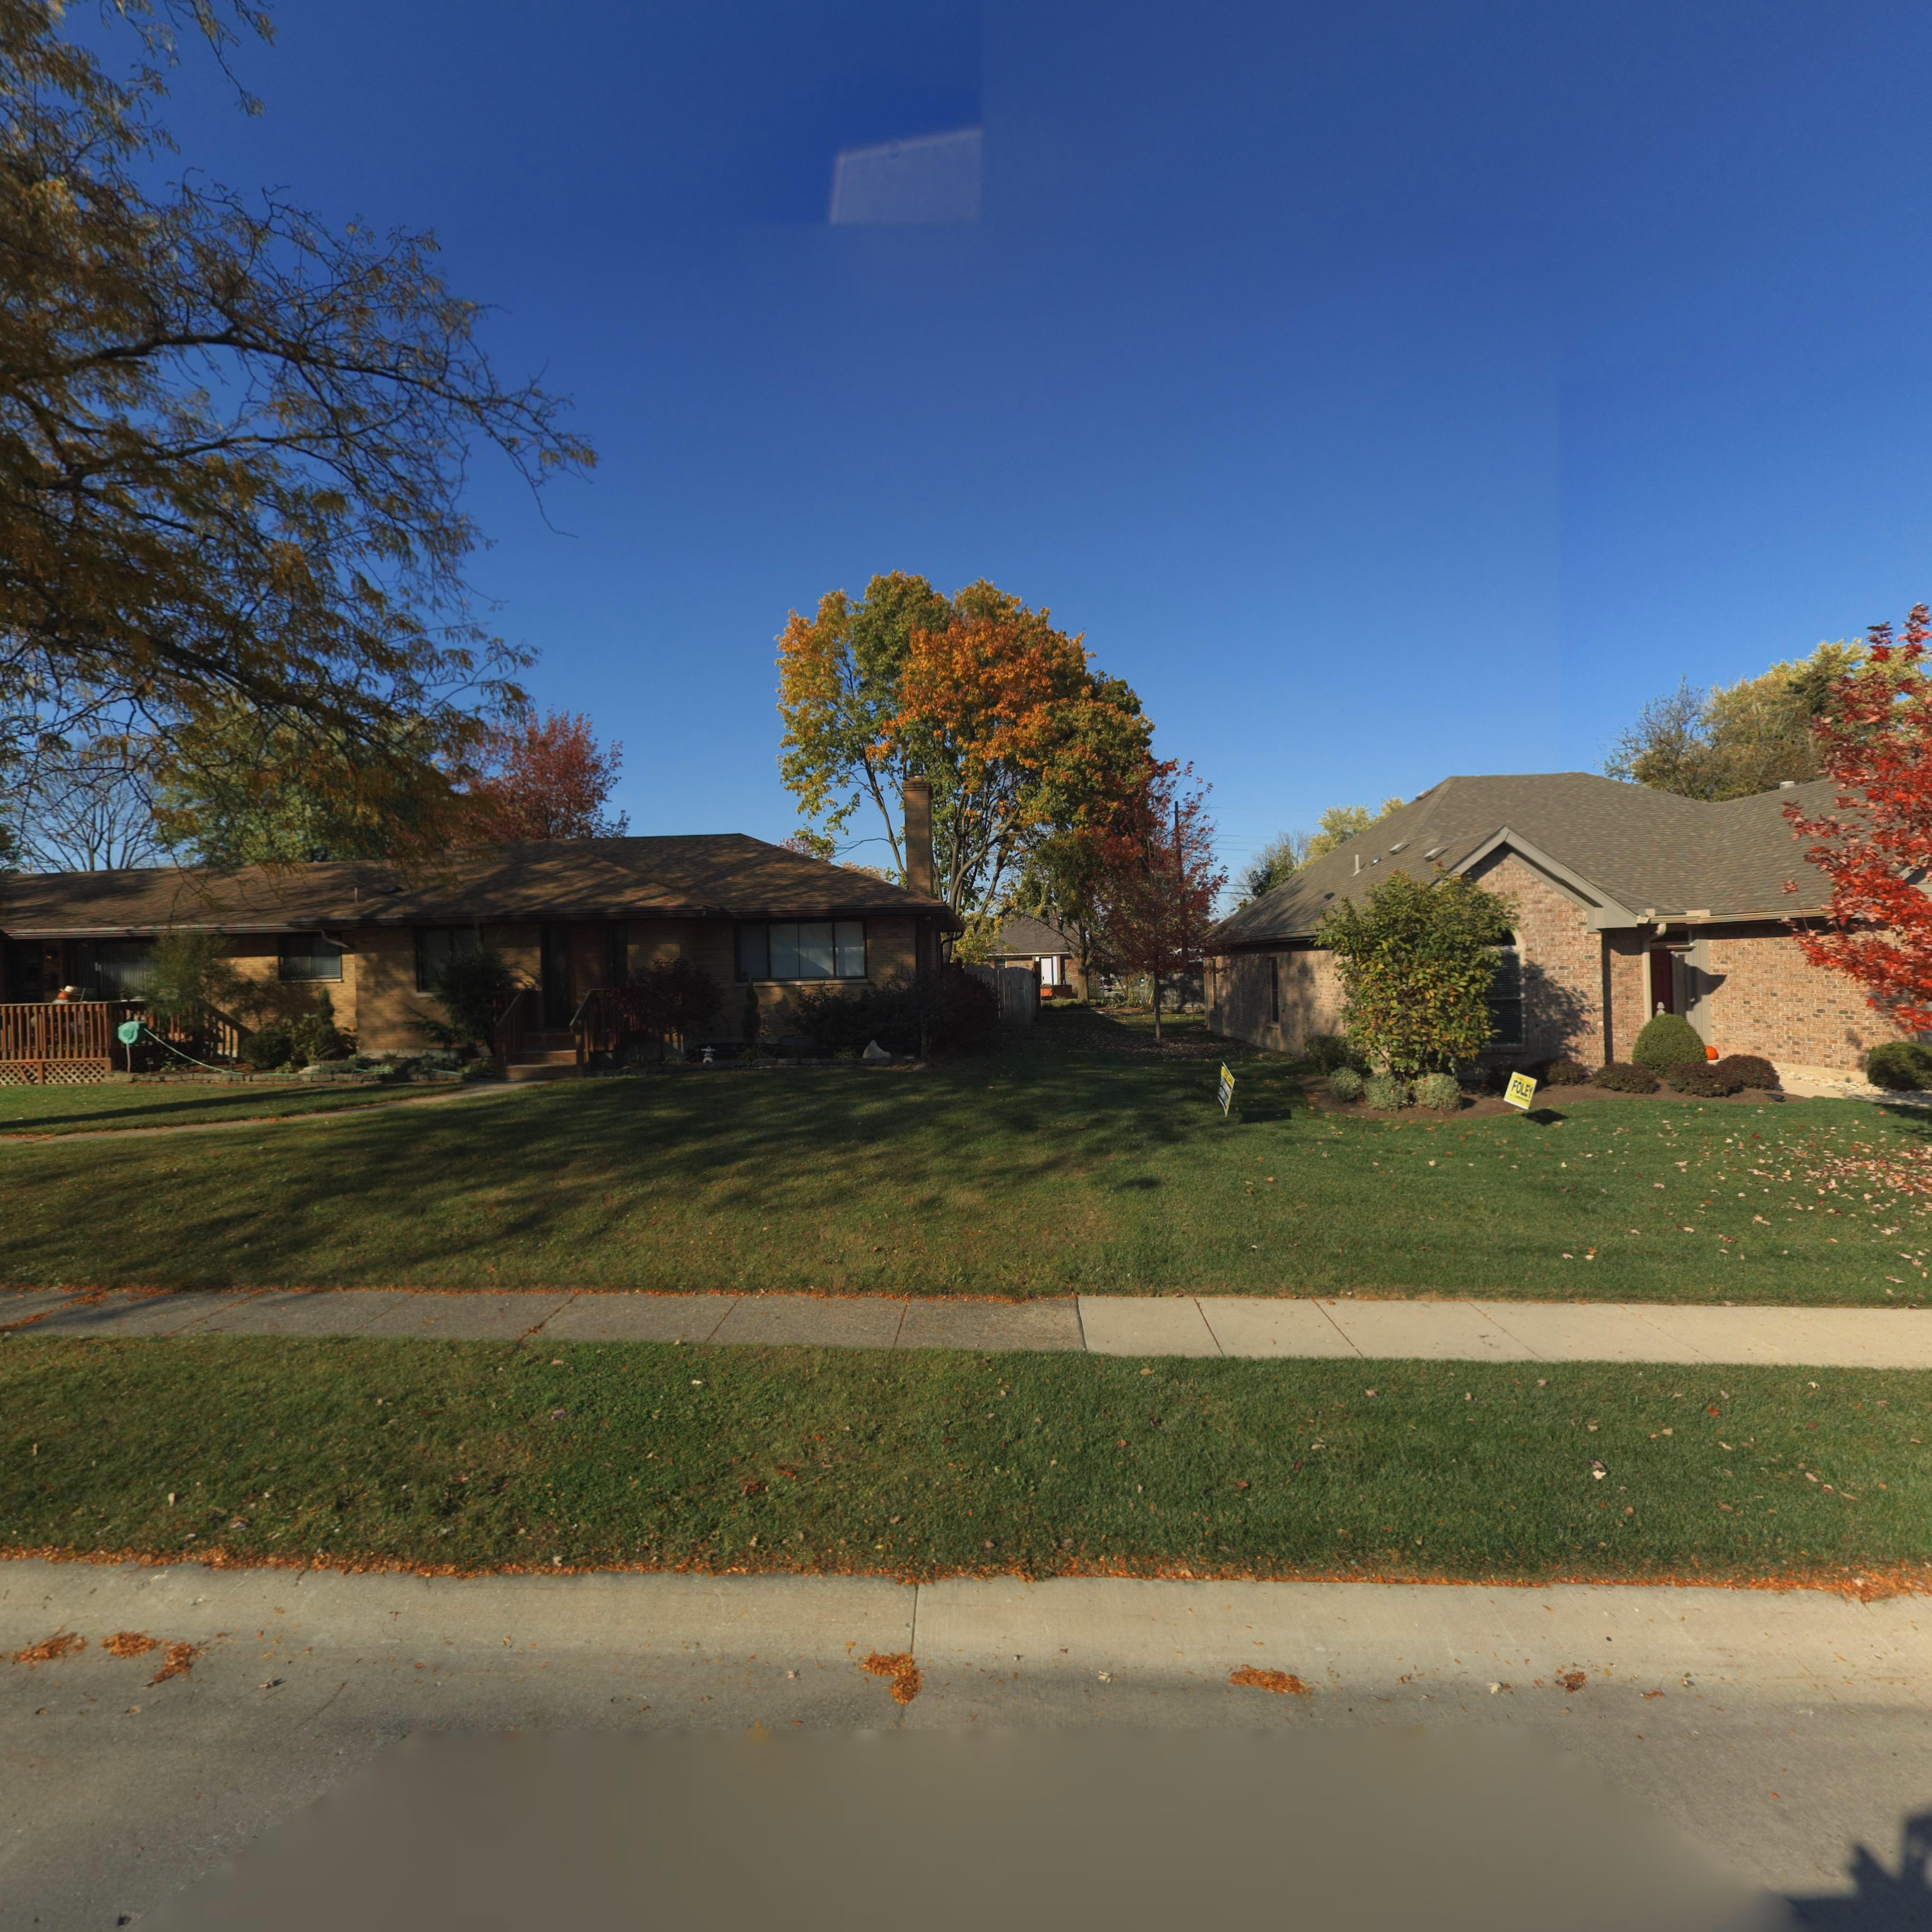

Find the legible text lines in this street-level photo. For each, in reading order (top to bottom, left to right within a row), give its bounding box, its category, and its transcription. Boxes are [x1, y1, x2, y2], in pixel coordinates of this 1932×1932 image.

[52, 960, 62, 969] StreetNumber: 5